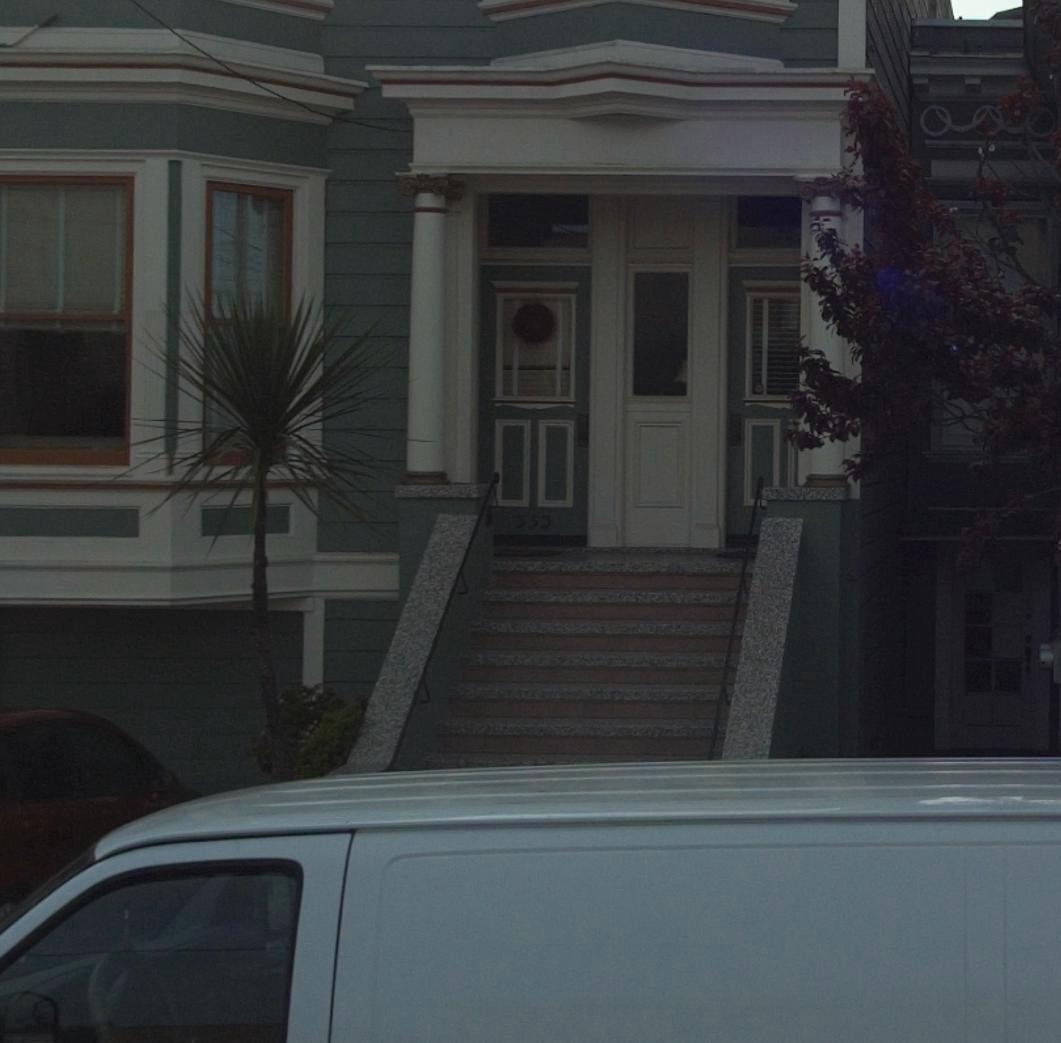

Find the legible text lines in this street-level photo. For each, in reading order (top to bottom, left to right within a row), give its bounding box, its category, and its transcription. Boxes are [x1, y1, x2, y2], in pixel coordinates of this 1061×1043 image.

[513, 514, 552, 529] StreetNumber: 333